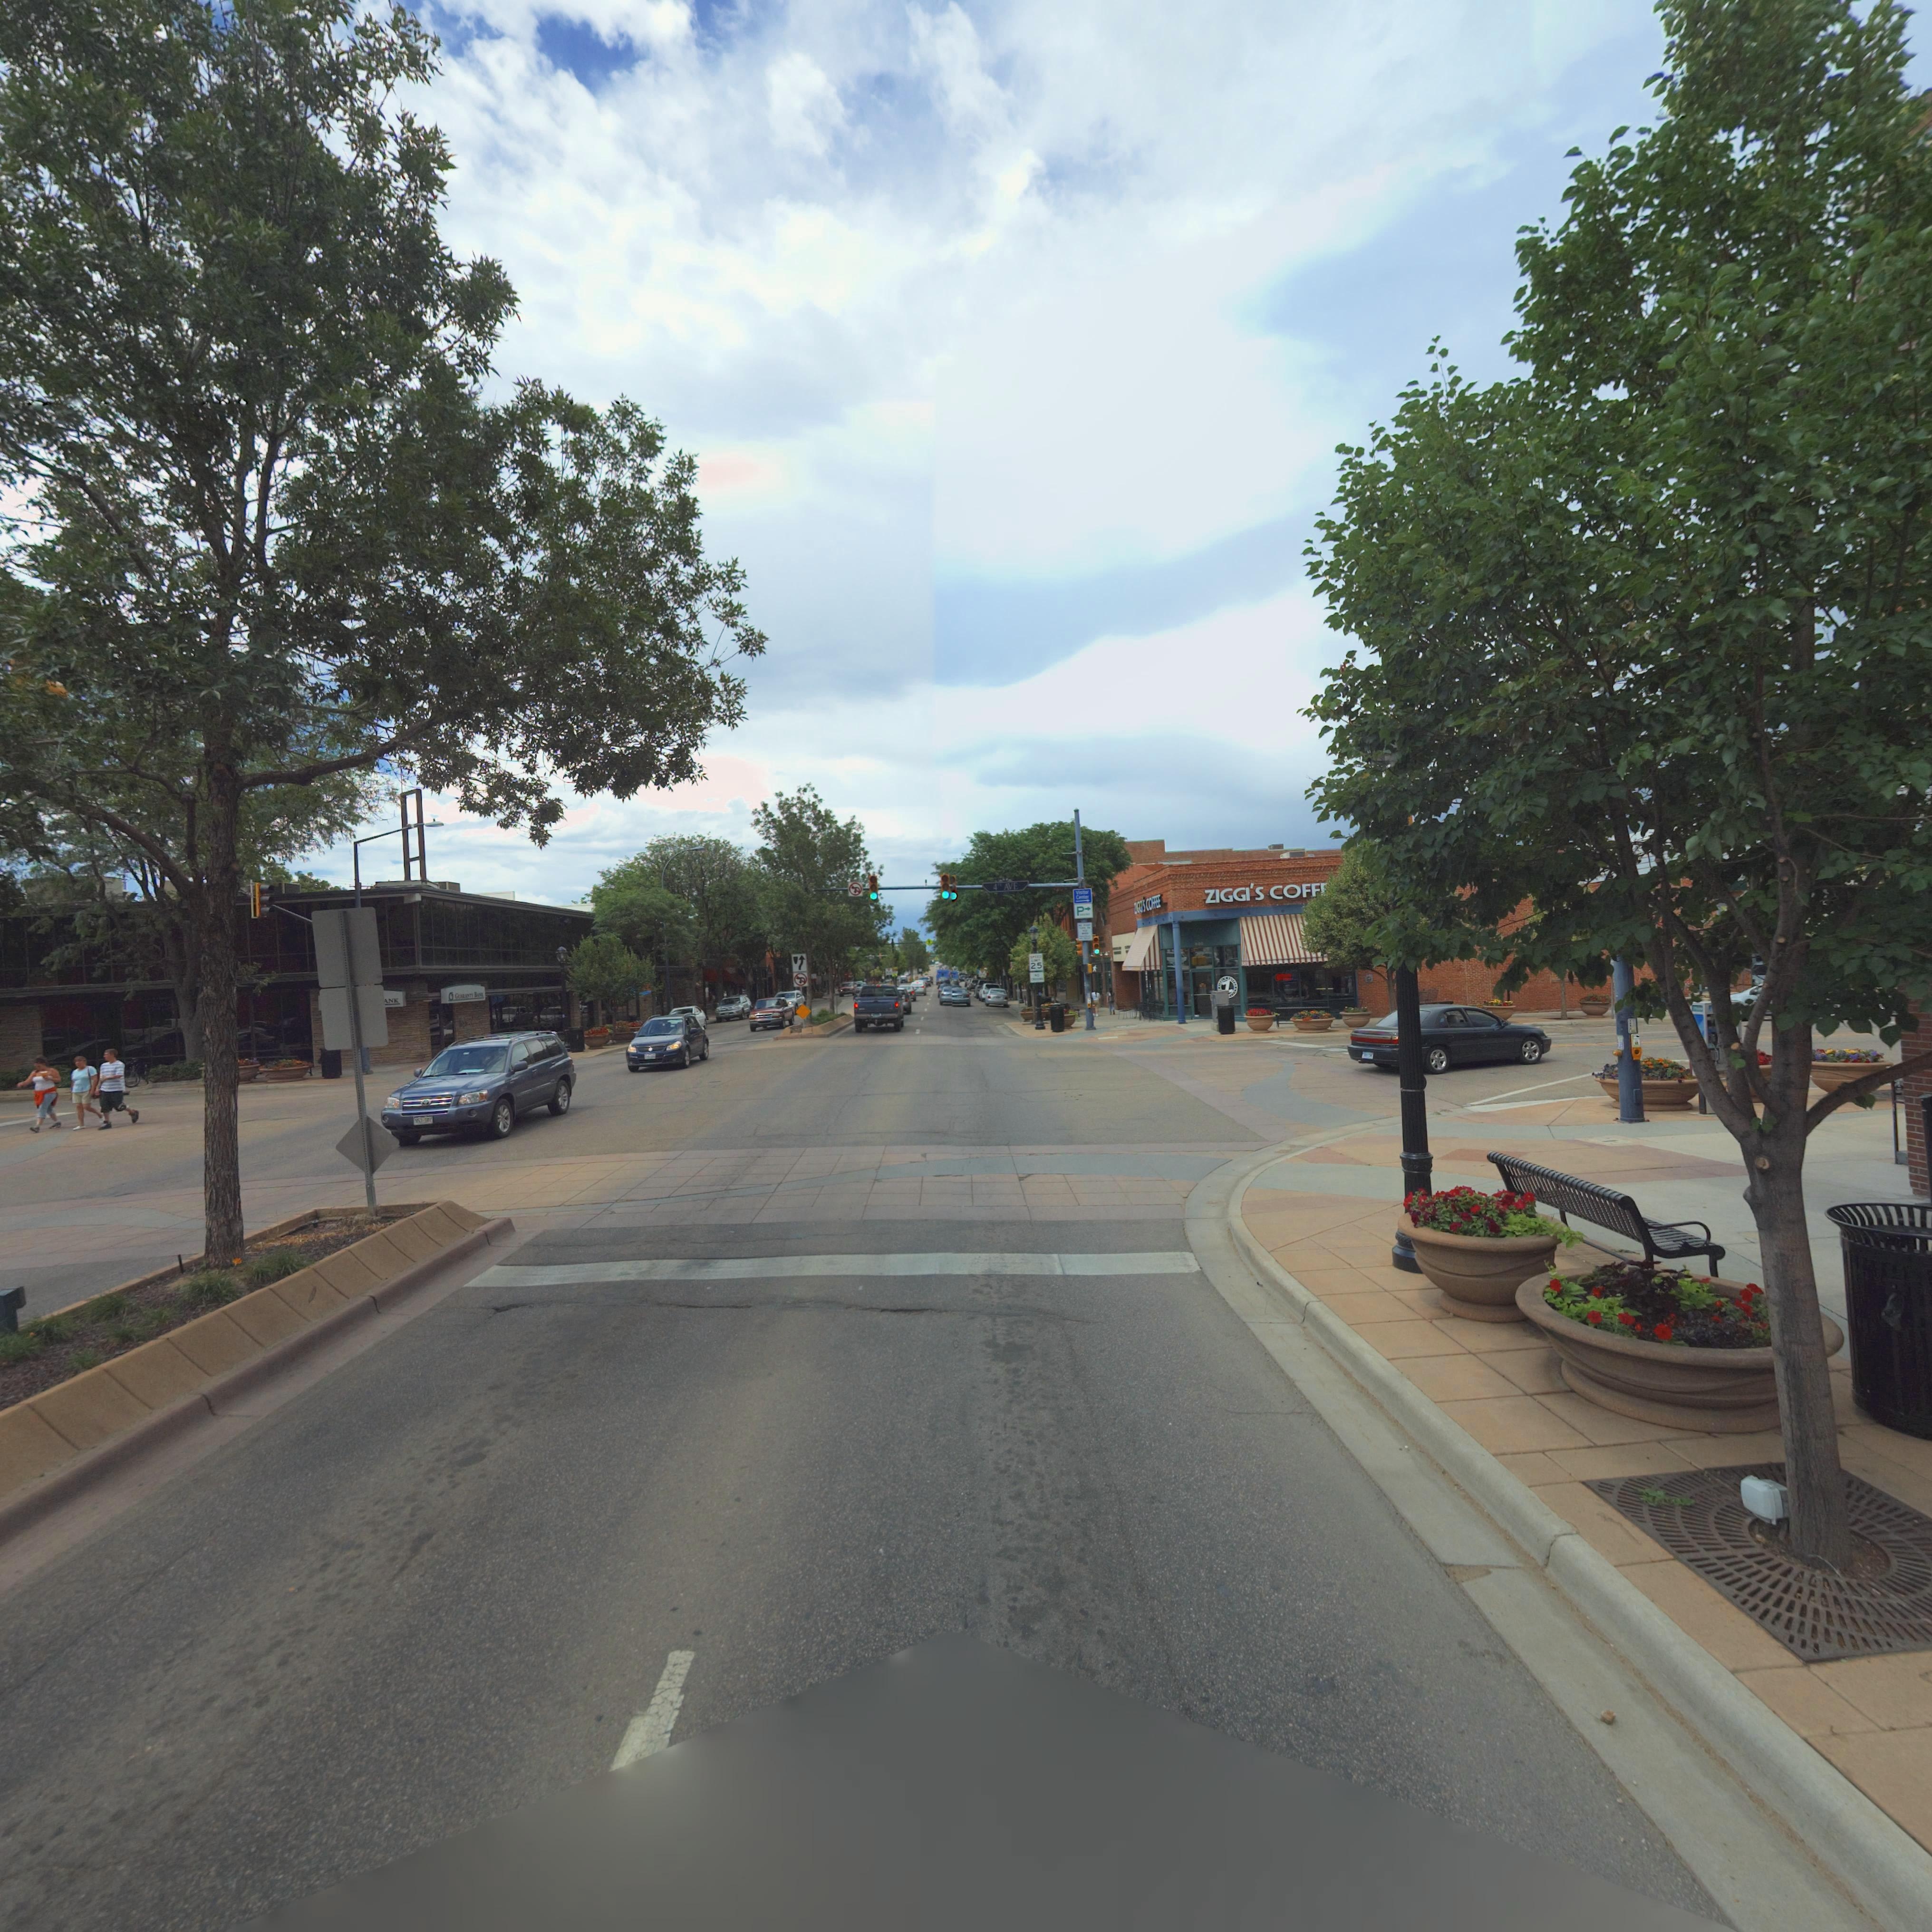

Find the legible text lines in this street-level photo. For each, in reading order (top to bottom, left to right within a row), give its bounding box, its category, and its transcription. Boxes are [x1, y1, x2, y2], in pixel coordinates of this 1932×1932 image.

[992, 882, 1018, 890] StreetName: 4TH AVE
[1203, 882, 1331, 904] BusinessName: ZIGGI'S COFF**
[1134, 893, 1161, 915] BusinessName: Z***I'S COFFEE
[454, 991, 483, 999] BusinessName: GU*RANTY BA**
[384, 998, 398, 1003] BusinessName: ******** *ANK